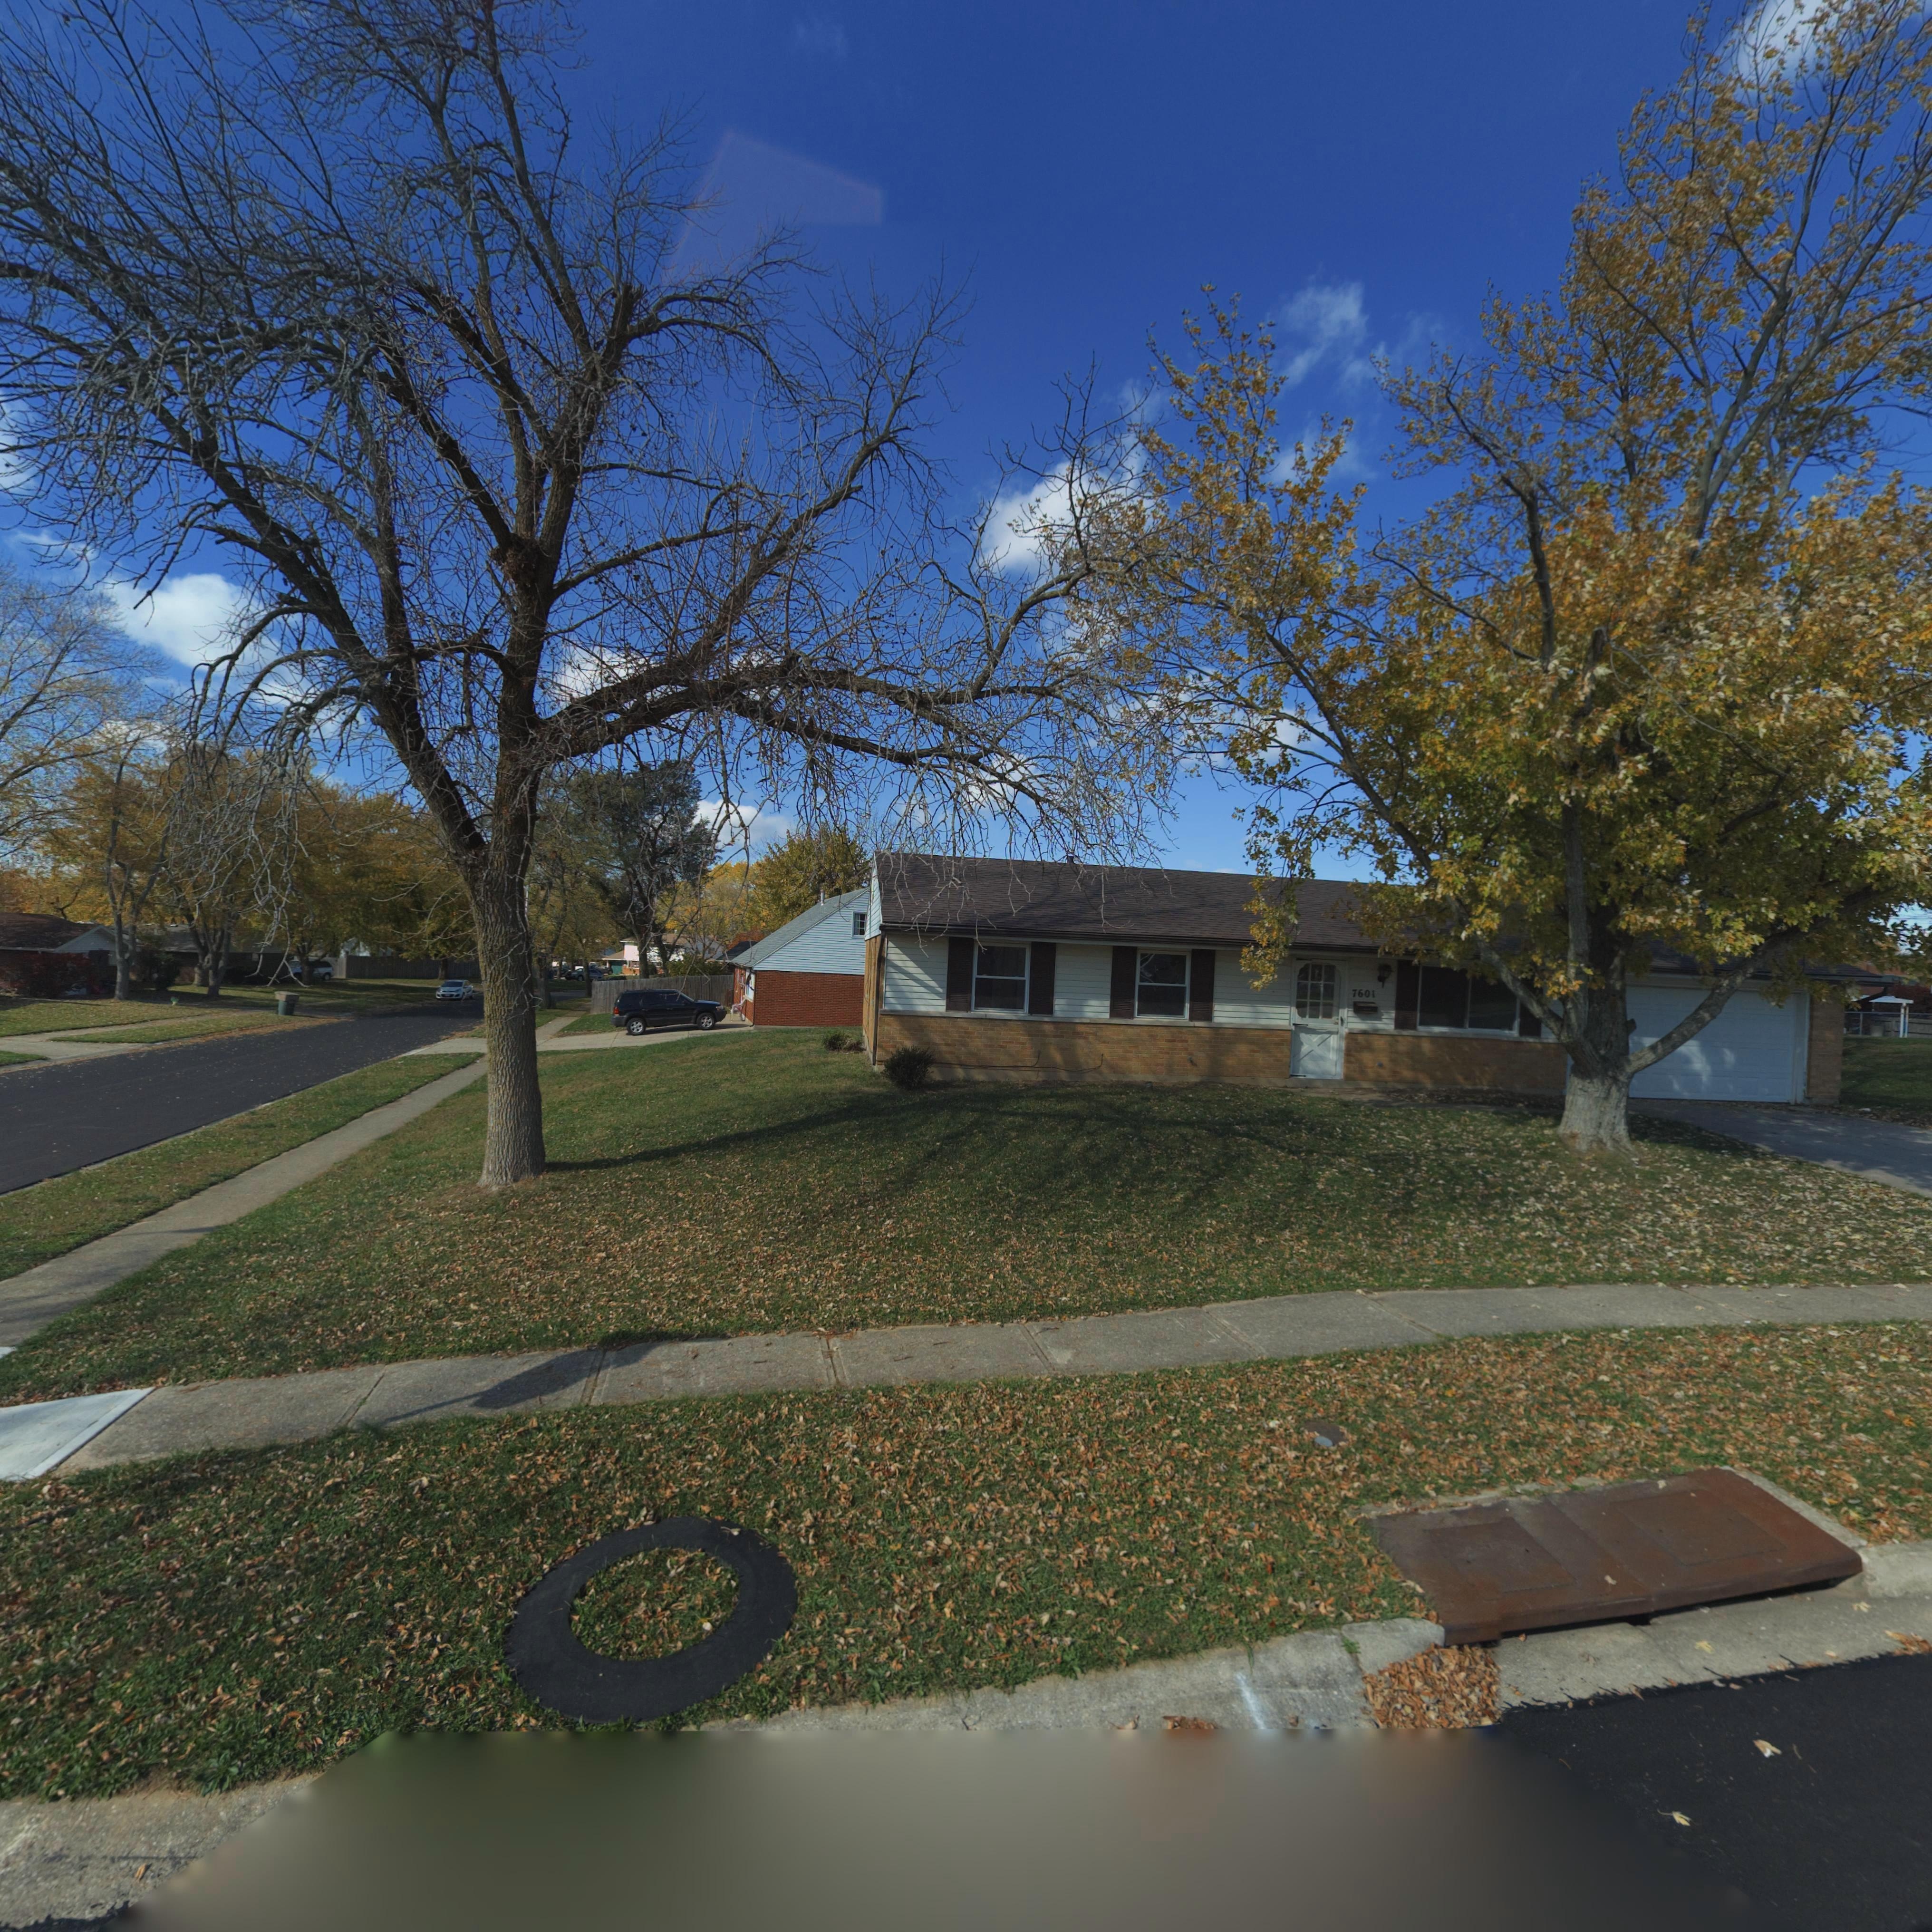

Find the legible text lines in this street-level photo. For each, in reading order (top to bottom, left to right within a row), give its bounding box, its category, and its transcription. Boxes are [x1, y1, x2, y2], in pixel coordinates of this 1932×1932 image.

[1352, 989, 1375, 998] StreetNumber: 7601